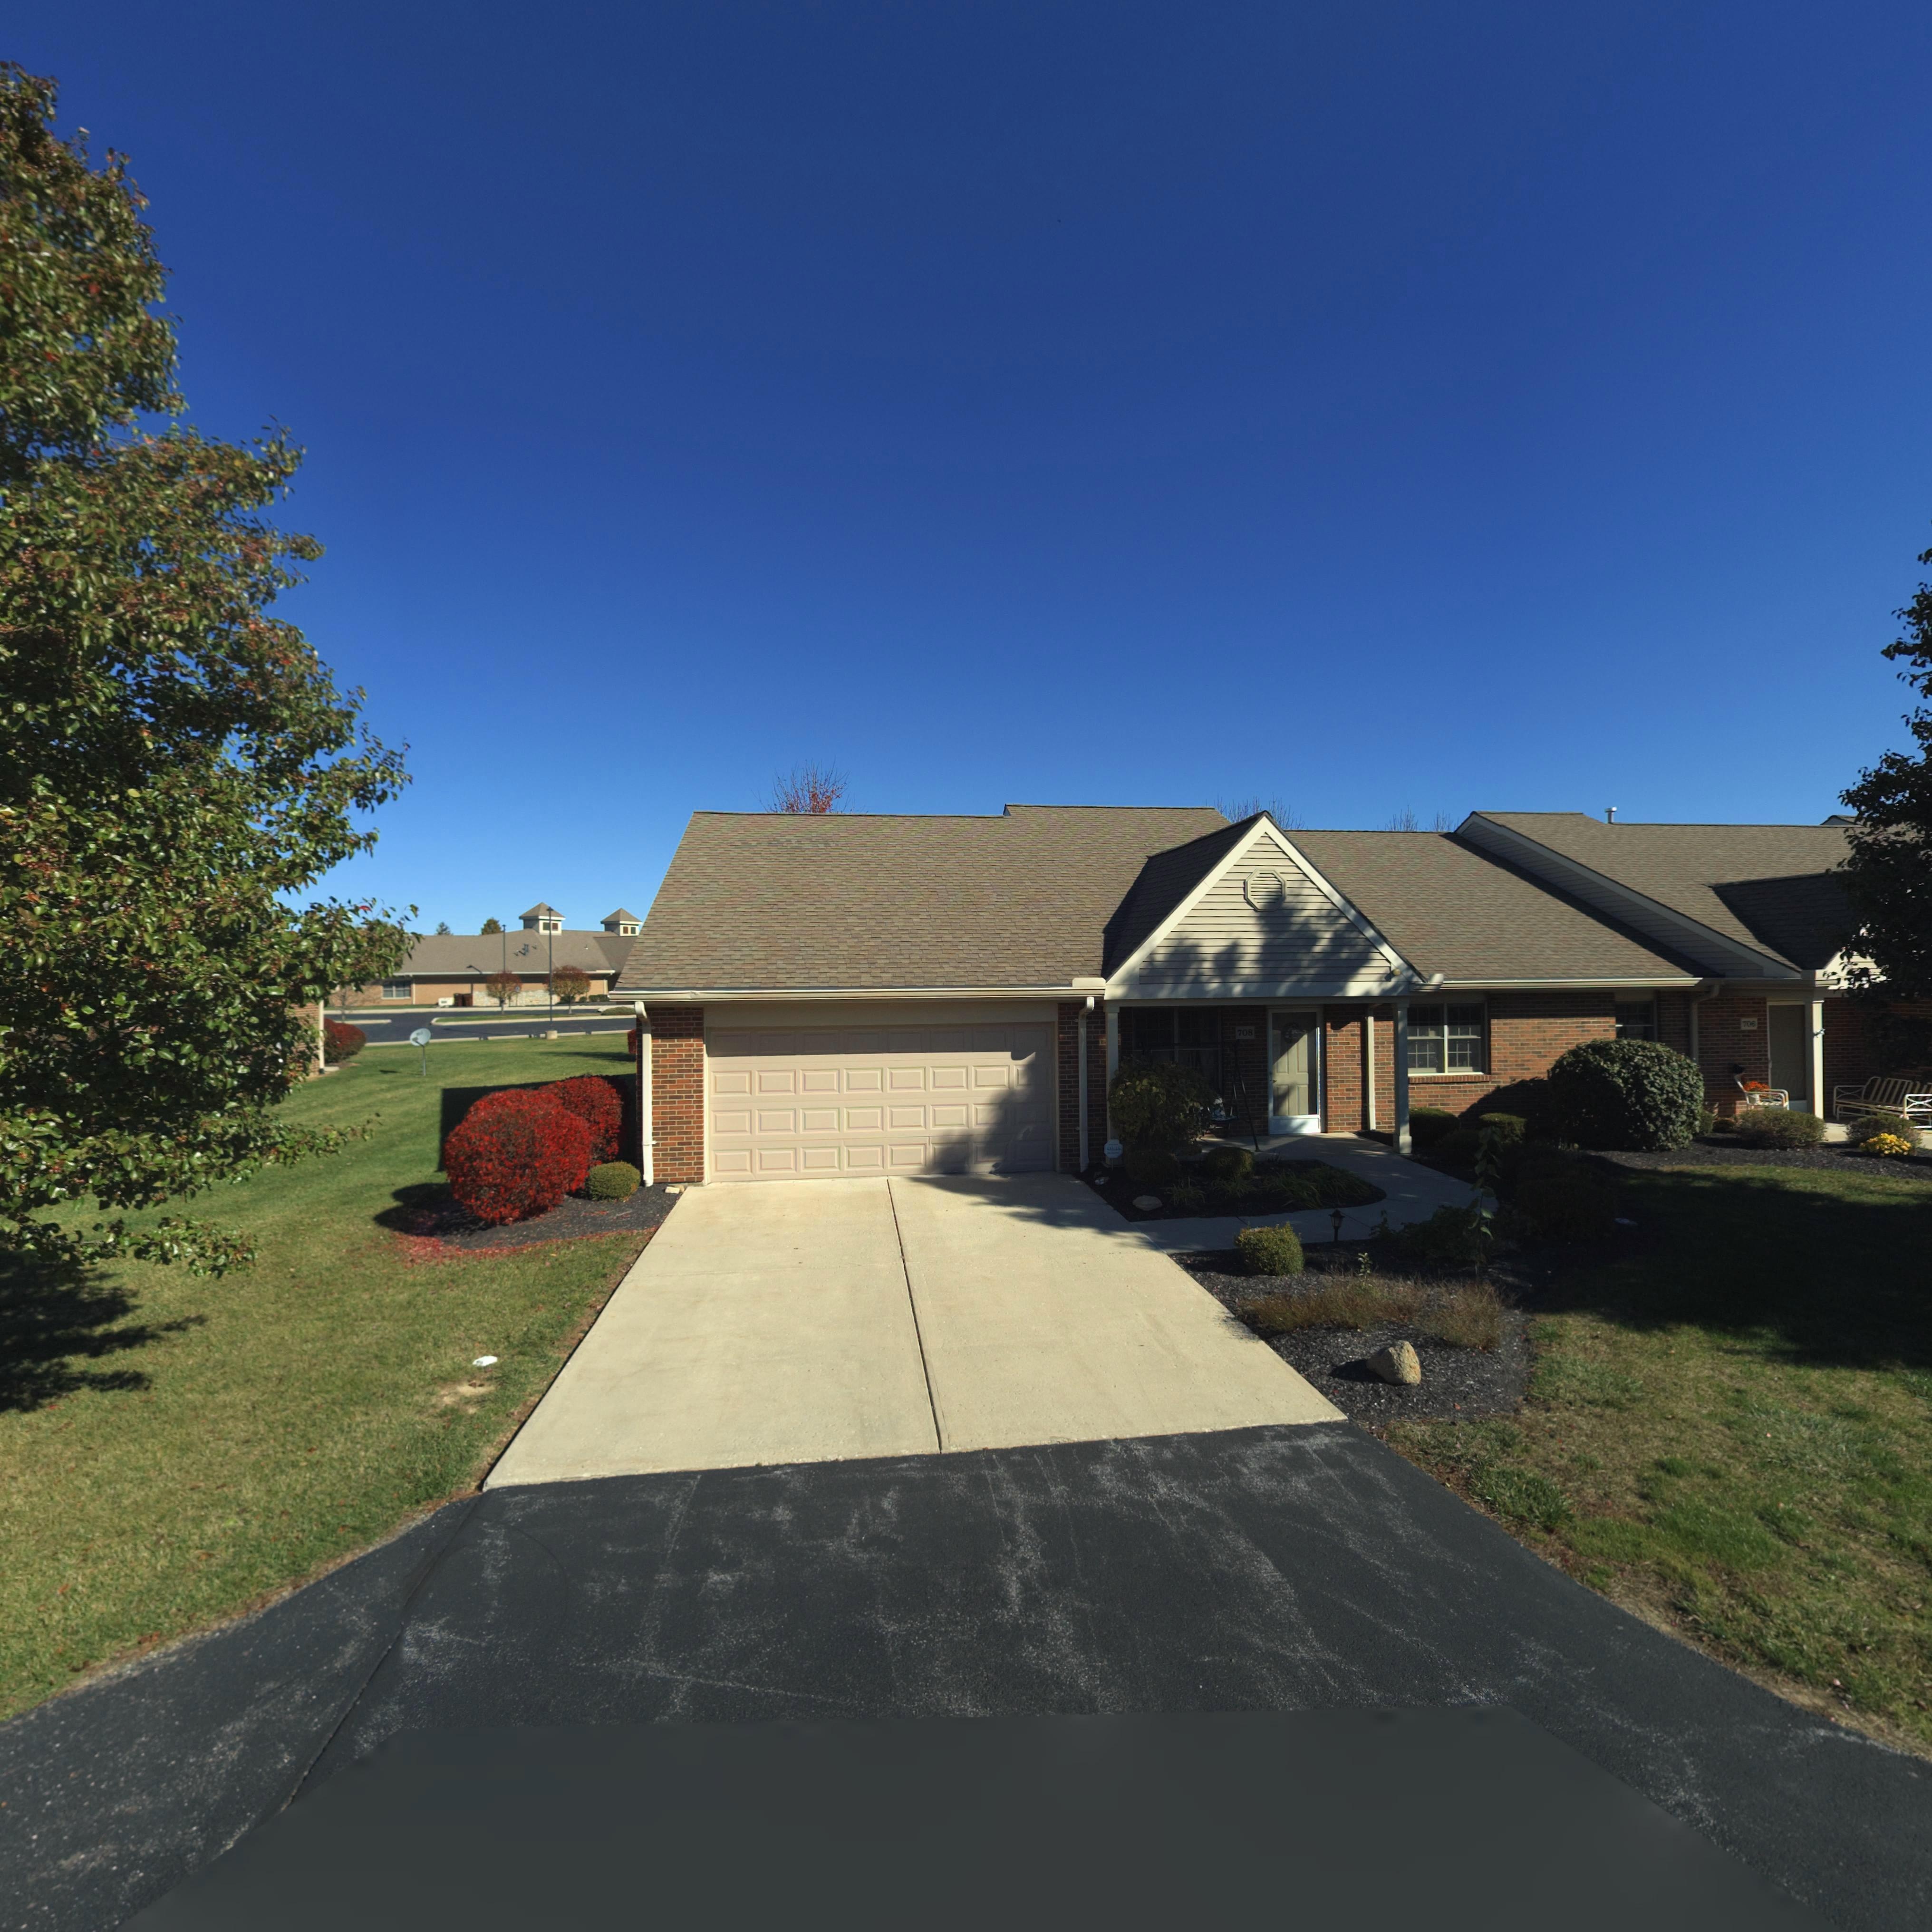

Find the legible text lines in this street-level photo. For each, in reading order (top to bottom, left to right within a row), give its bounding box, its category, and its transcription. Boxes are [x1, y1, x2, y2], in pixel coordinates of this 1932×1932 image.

[1742, 1020, 1756, 1027] StreetNumber: 706
[1237, 1029, 1253, 1036] StreetNumber: 708